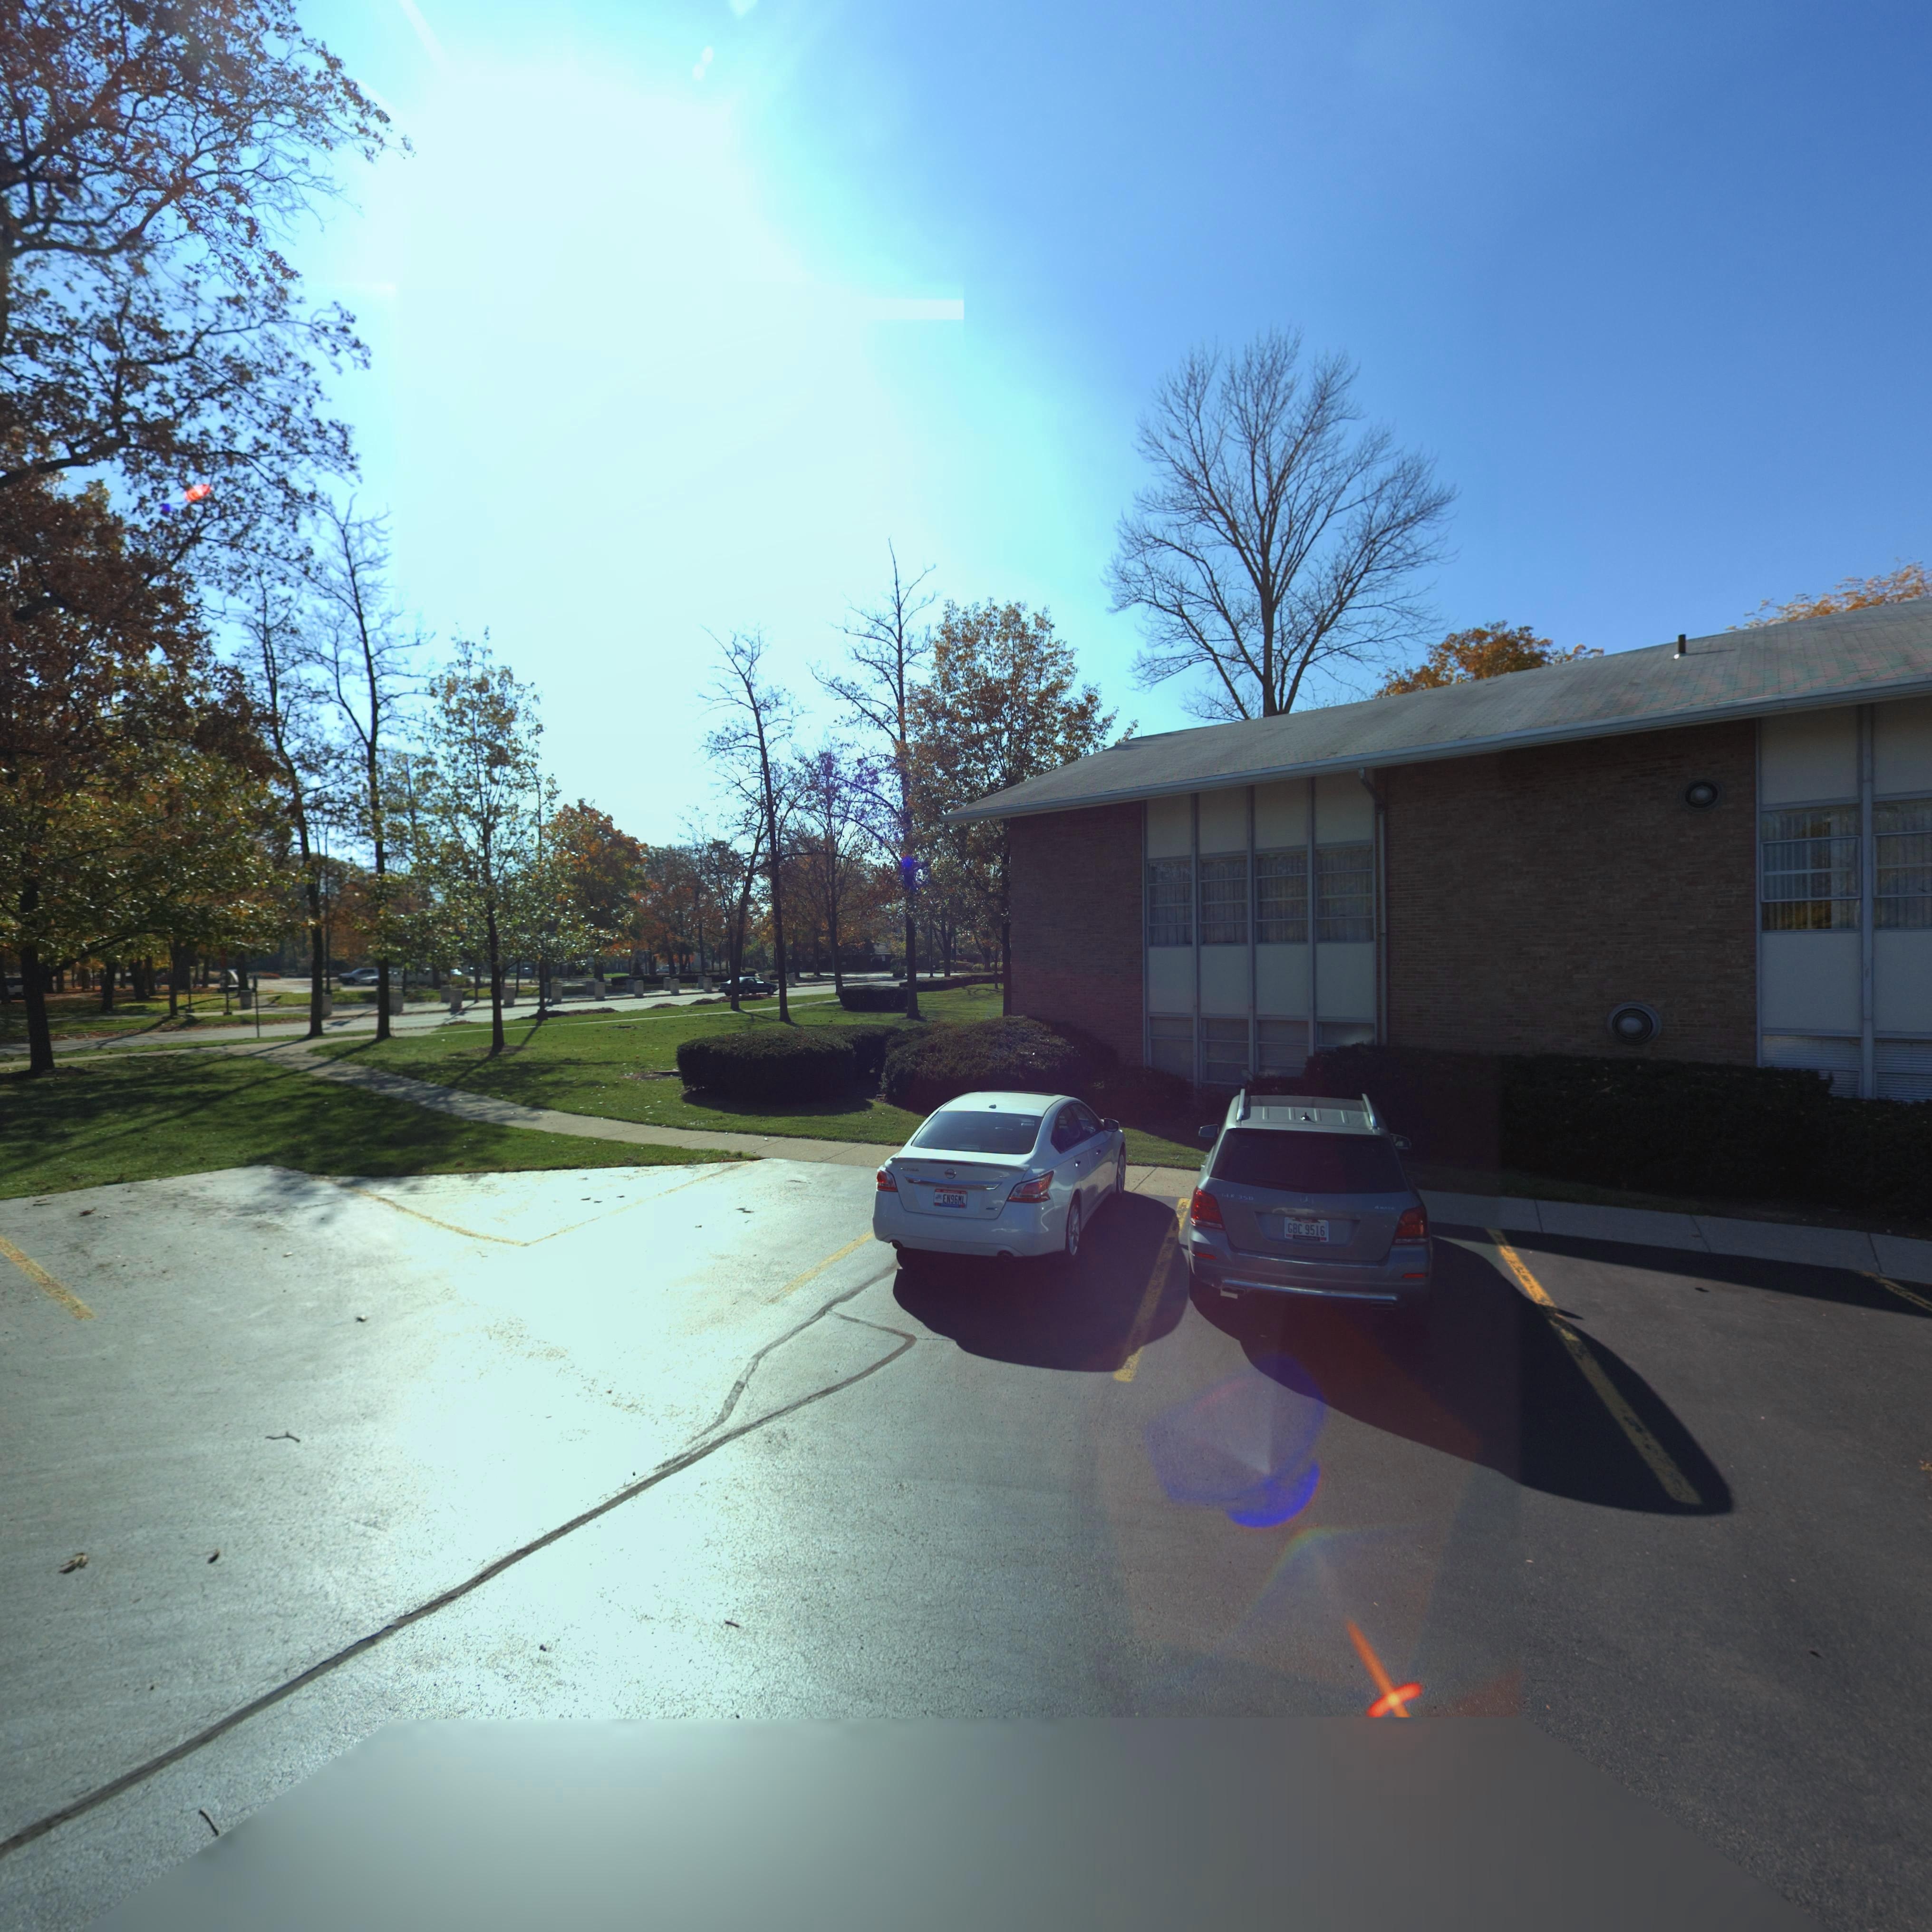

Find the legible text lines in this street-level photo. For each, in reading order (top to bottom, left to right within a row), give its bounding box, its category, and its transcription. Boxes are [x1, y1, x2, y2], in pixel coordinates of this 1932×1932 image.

[942, 1192, 966, 1206] None: EN96ML
[1373, 1204, 1380, 1211] None: 4
[1286, 1220, 1326, 1237] None: GBC 9516